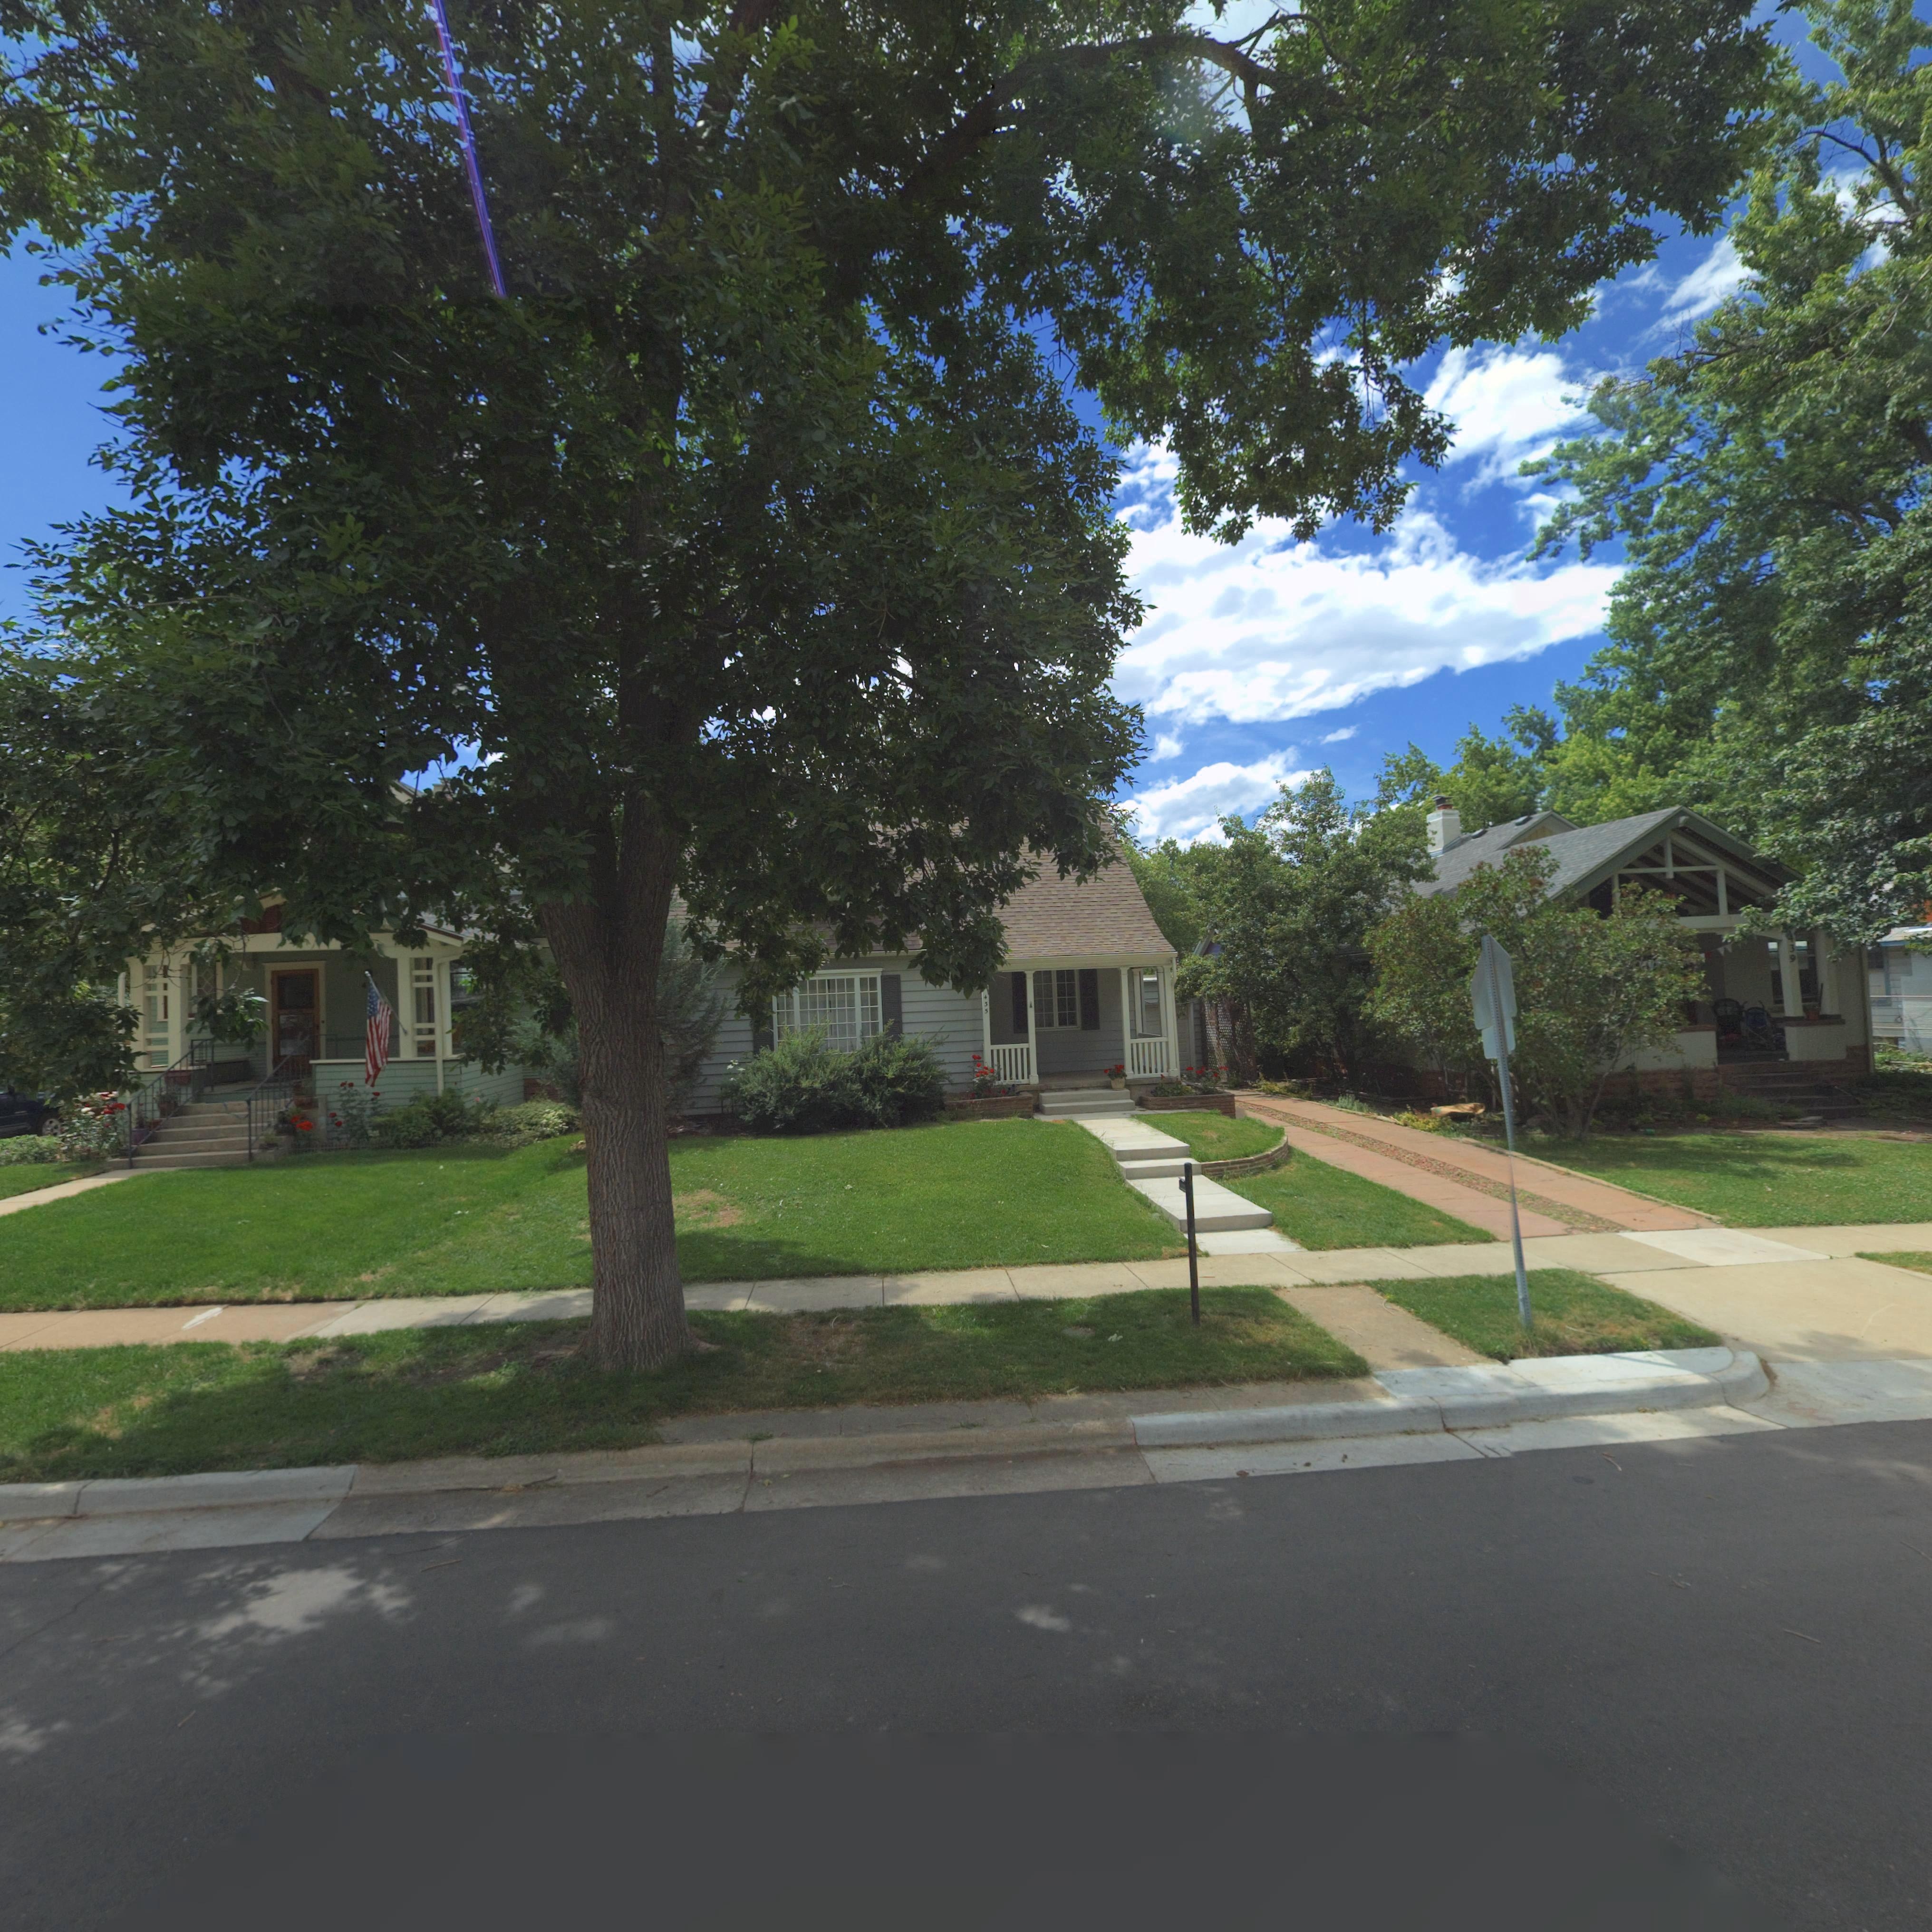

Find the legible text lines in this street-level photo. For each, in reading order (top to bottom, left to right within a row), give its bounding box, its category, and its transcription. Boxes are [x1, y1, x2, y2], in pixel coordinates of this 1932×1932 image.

[1787, 932, 1796, 963] StreetNumber: 439
[362, 981, 377, 989] StreetNumber: 4**
[983, 994, 988, 1014] StreetNumber: 435